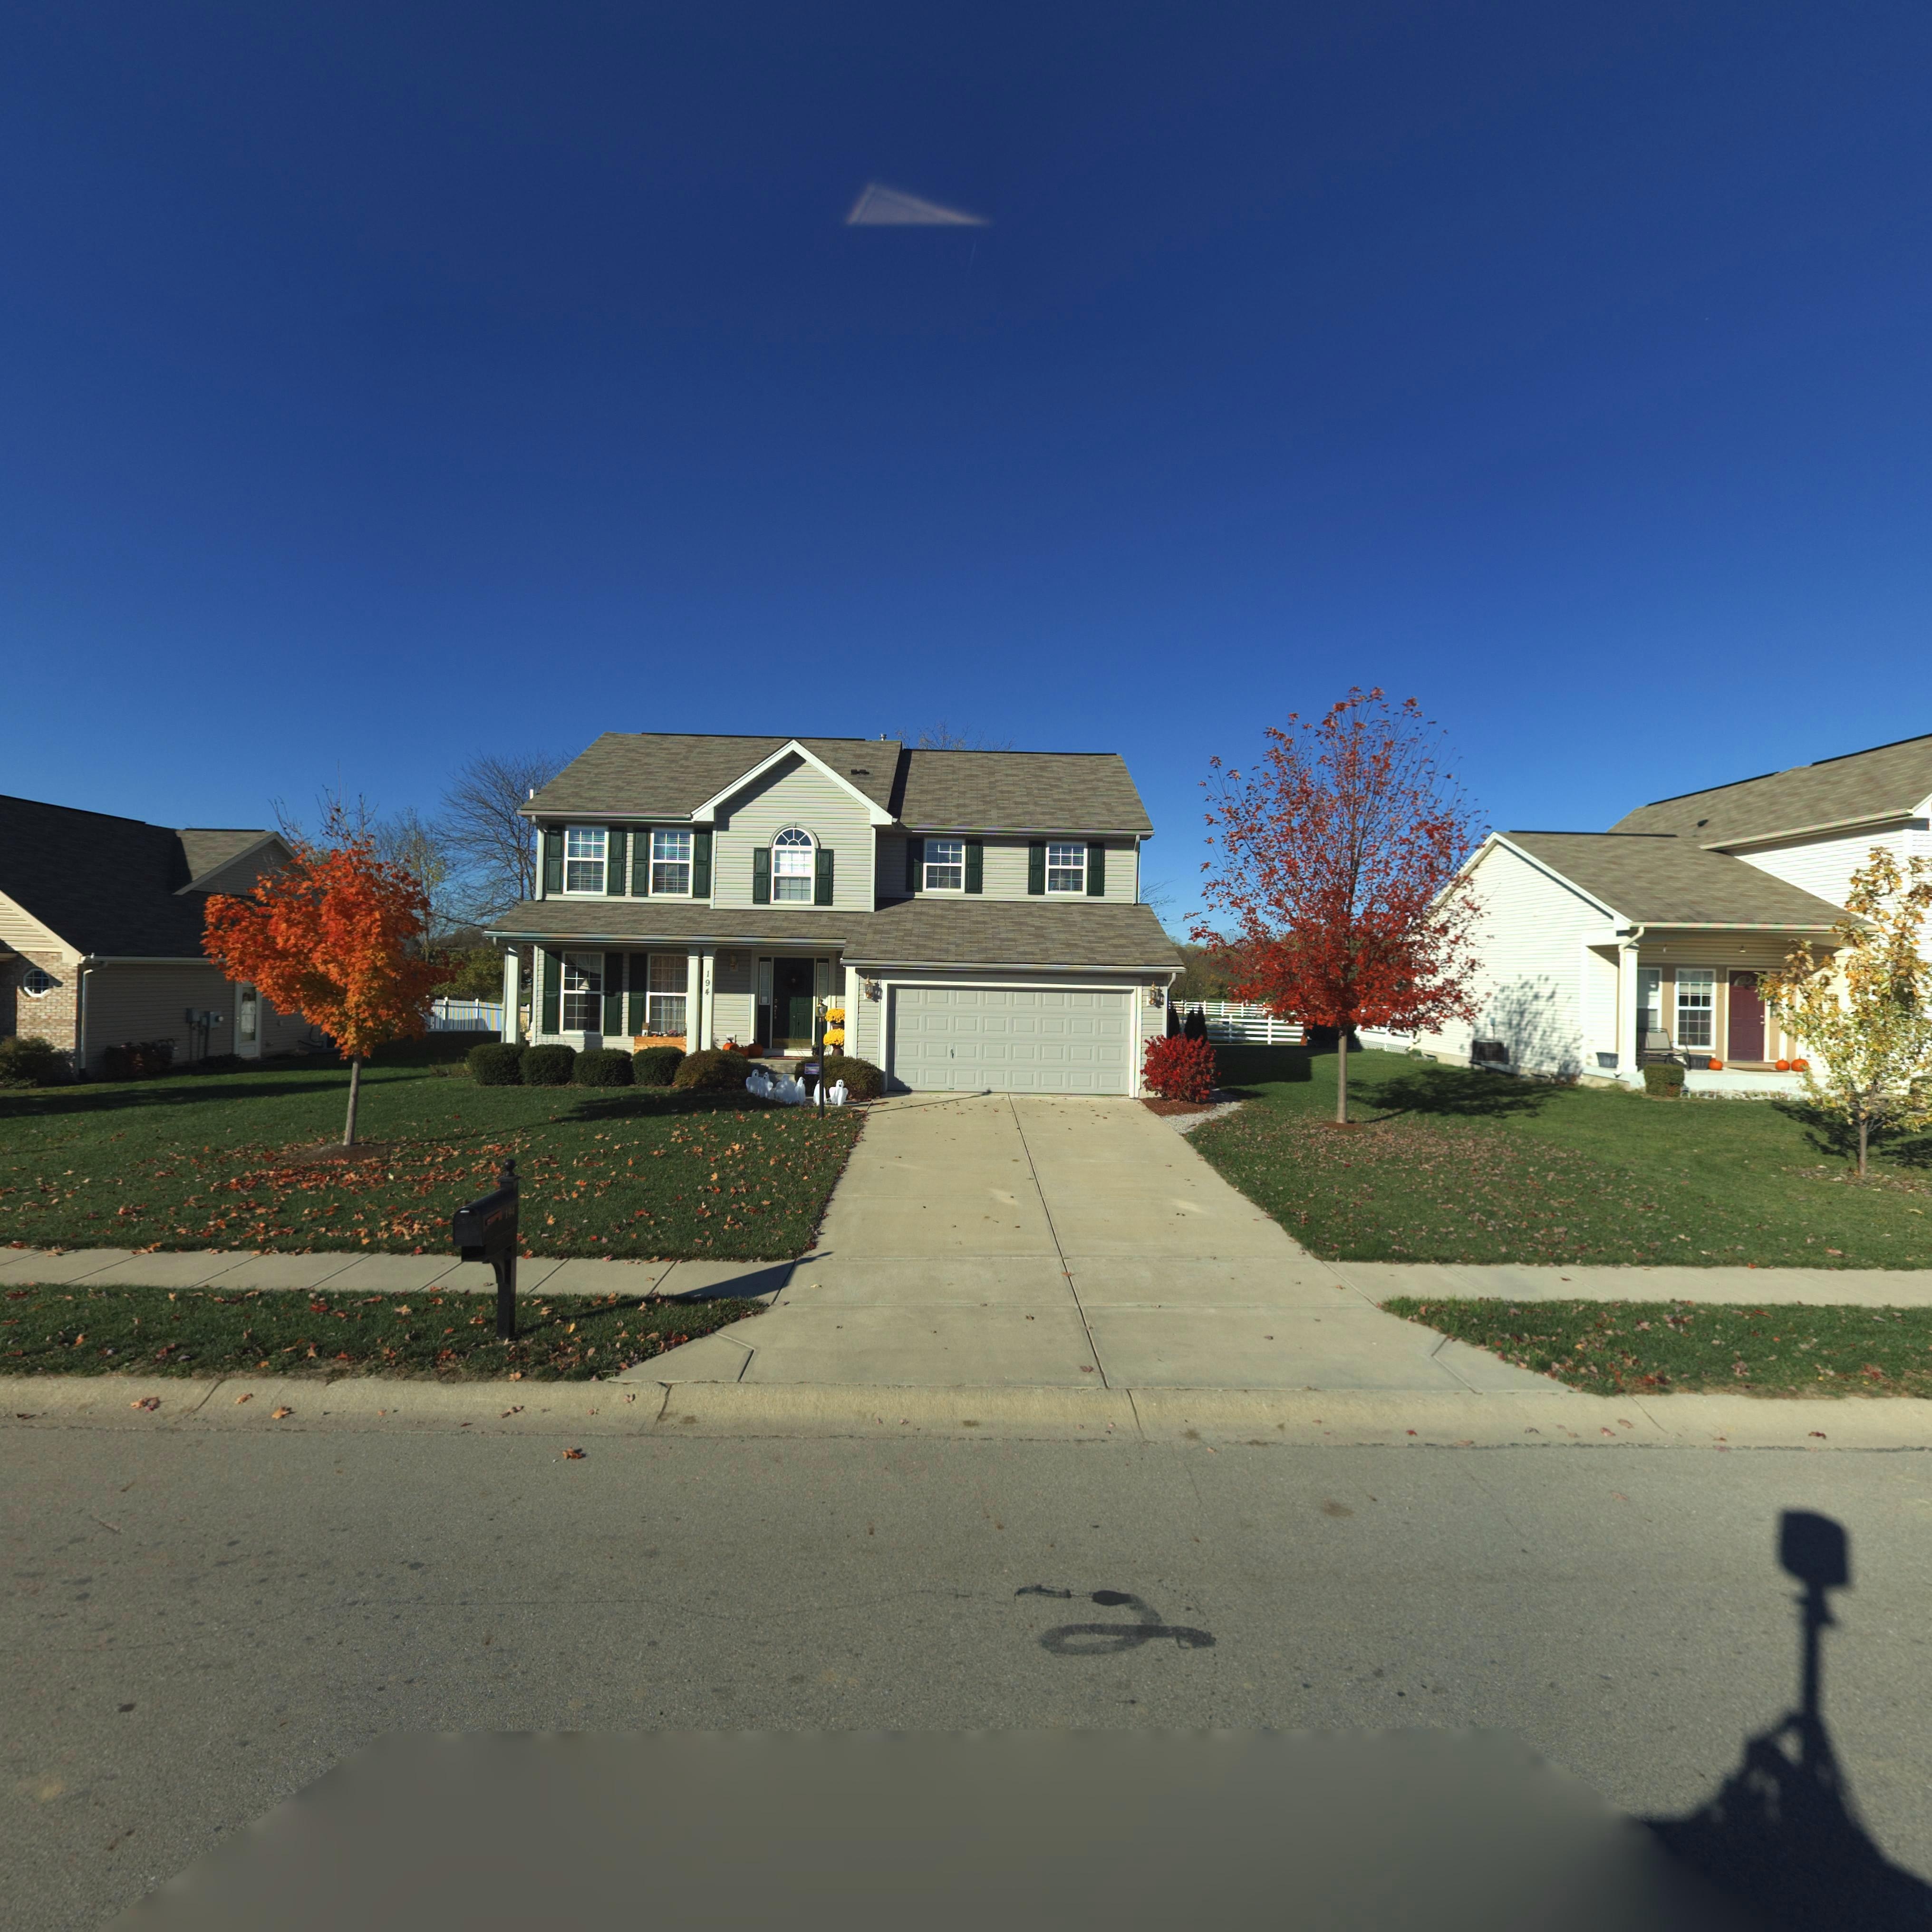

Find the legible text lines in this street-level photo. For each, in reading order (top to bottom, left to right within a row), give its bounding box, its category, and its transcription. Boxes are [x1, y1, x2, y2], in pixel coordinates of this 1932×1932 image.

[704, 969, 711, 996] StreetNumber: 194